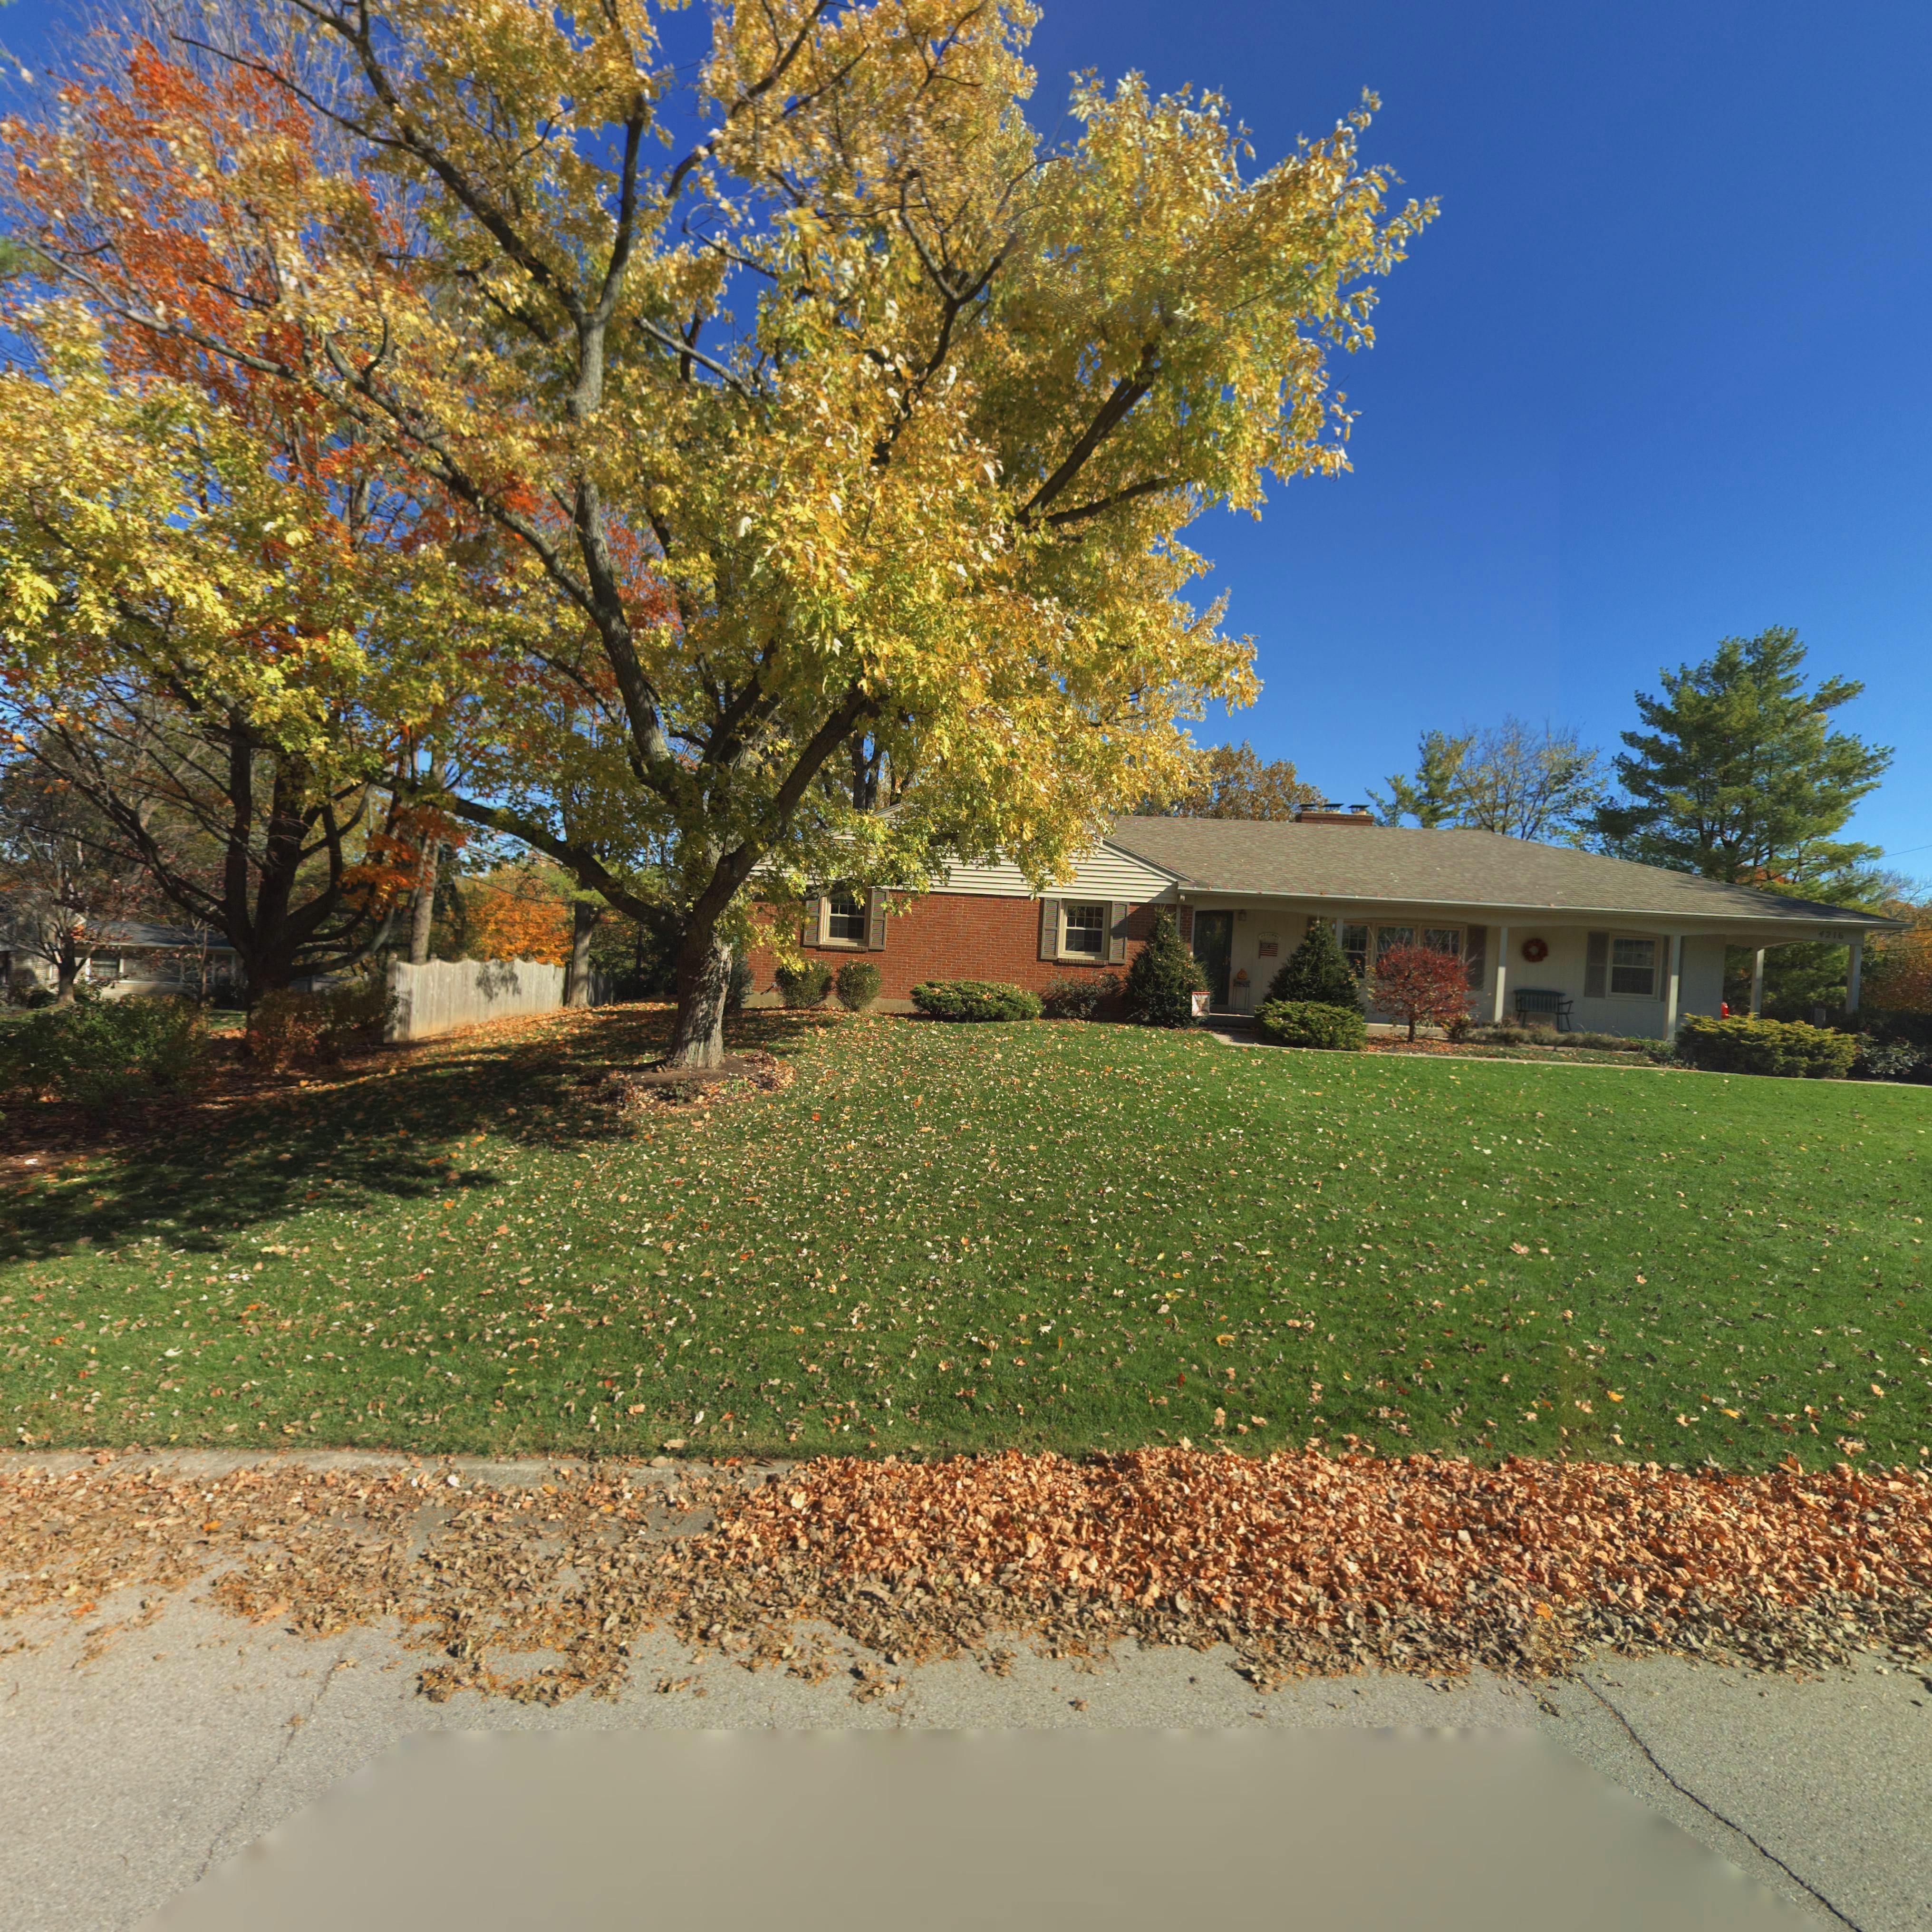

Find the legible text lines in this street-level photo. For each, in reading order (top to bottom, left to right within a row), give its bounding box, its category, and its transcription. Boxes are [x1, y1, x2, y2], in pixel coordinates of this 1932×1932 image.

[1817, 930, 1844, 940] StreetNumber: 4216